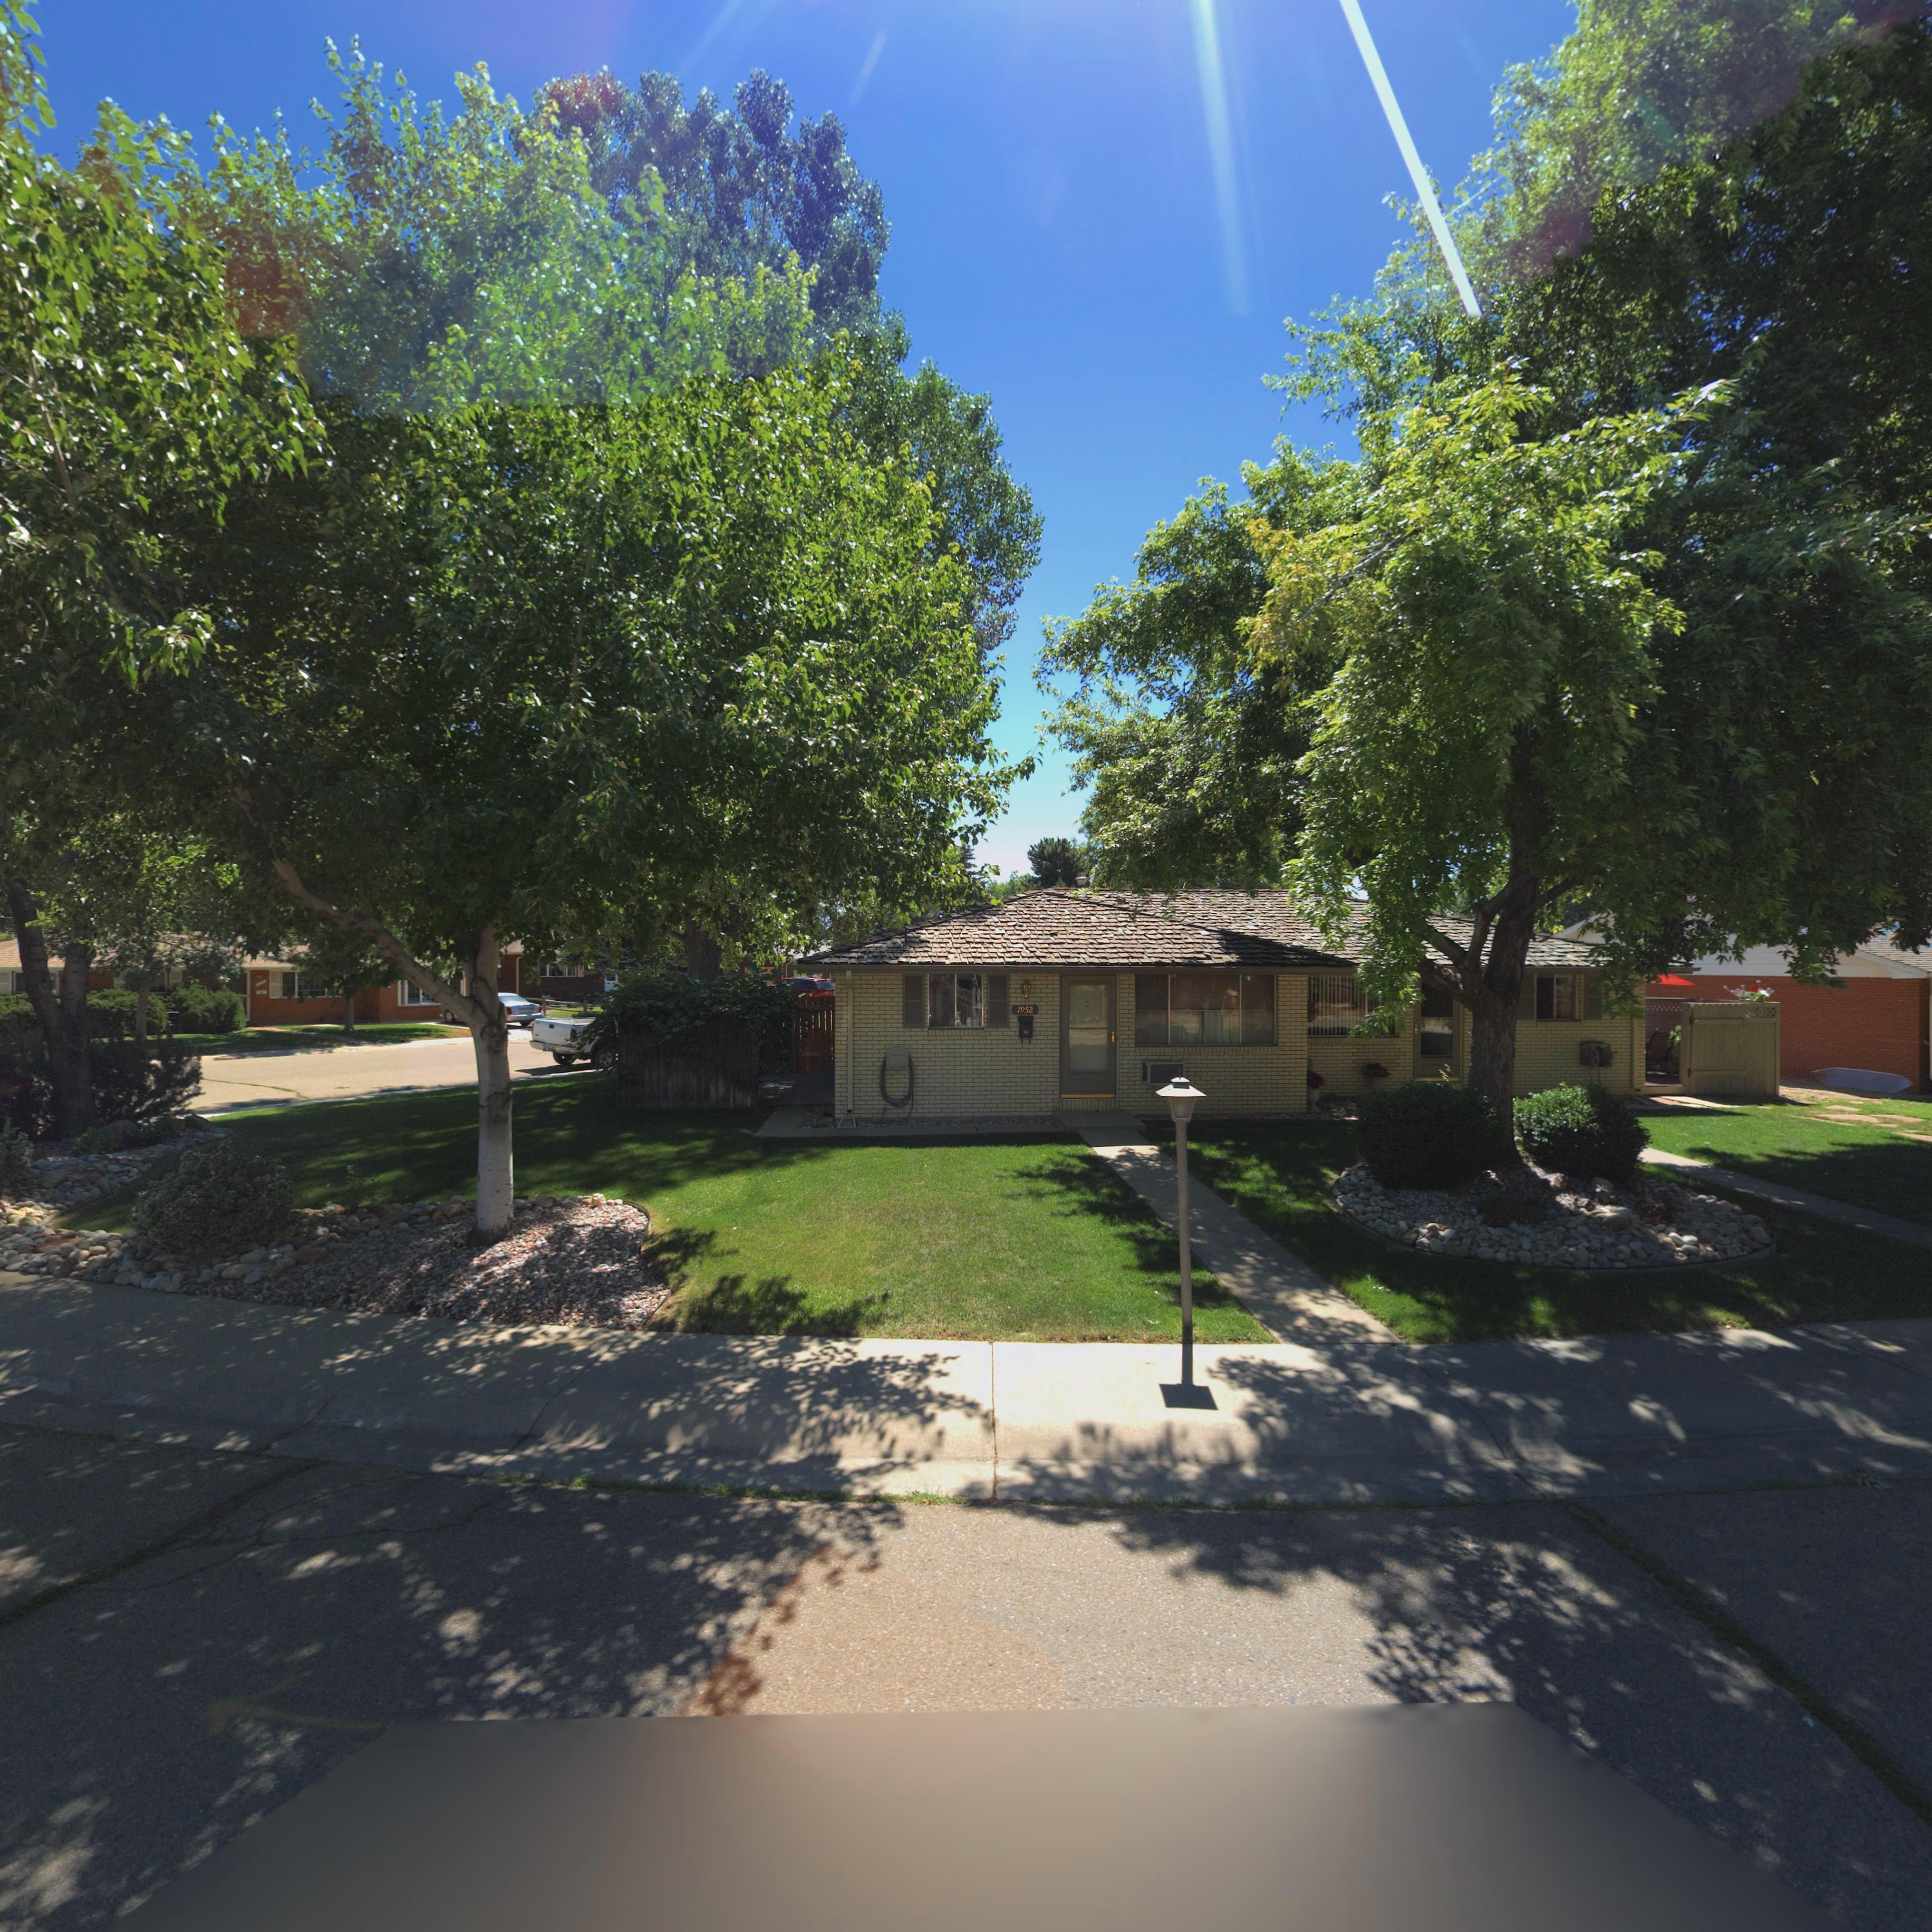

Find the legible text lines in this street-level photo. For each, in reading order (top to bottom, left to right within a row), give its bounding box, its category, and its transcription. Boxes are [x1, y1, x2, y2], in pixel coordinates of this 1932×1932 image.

[1016, 1005, 1034, 1014] StreetNumber: 1952